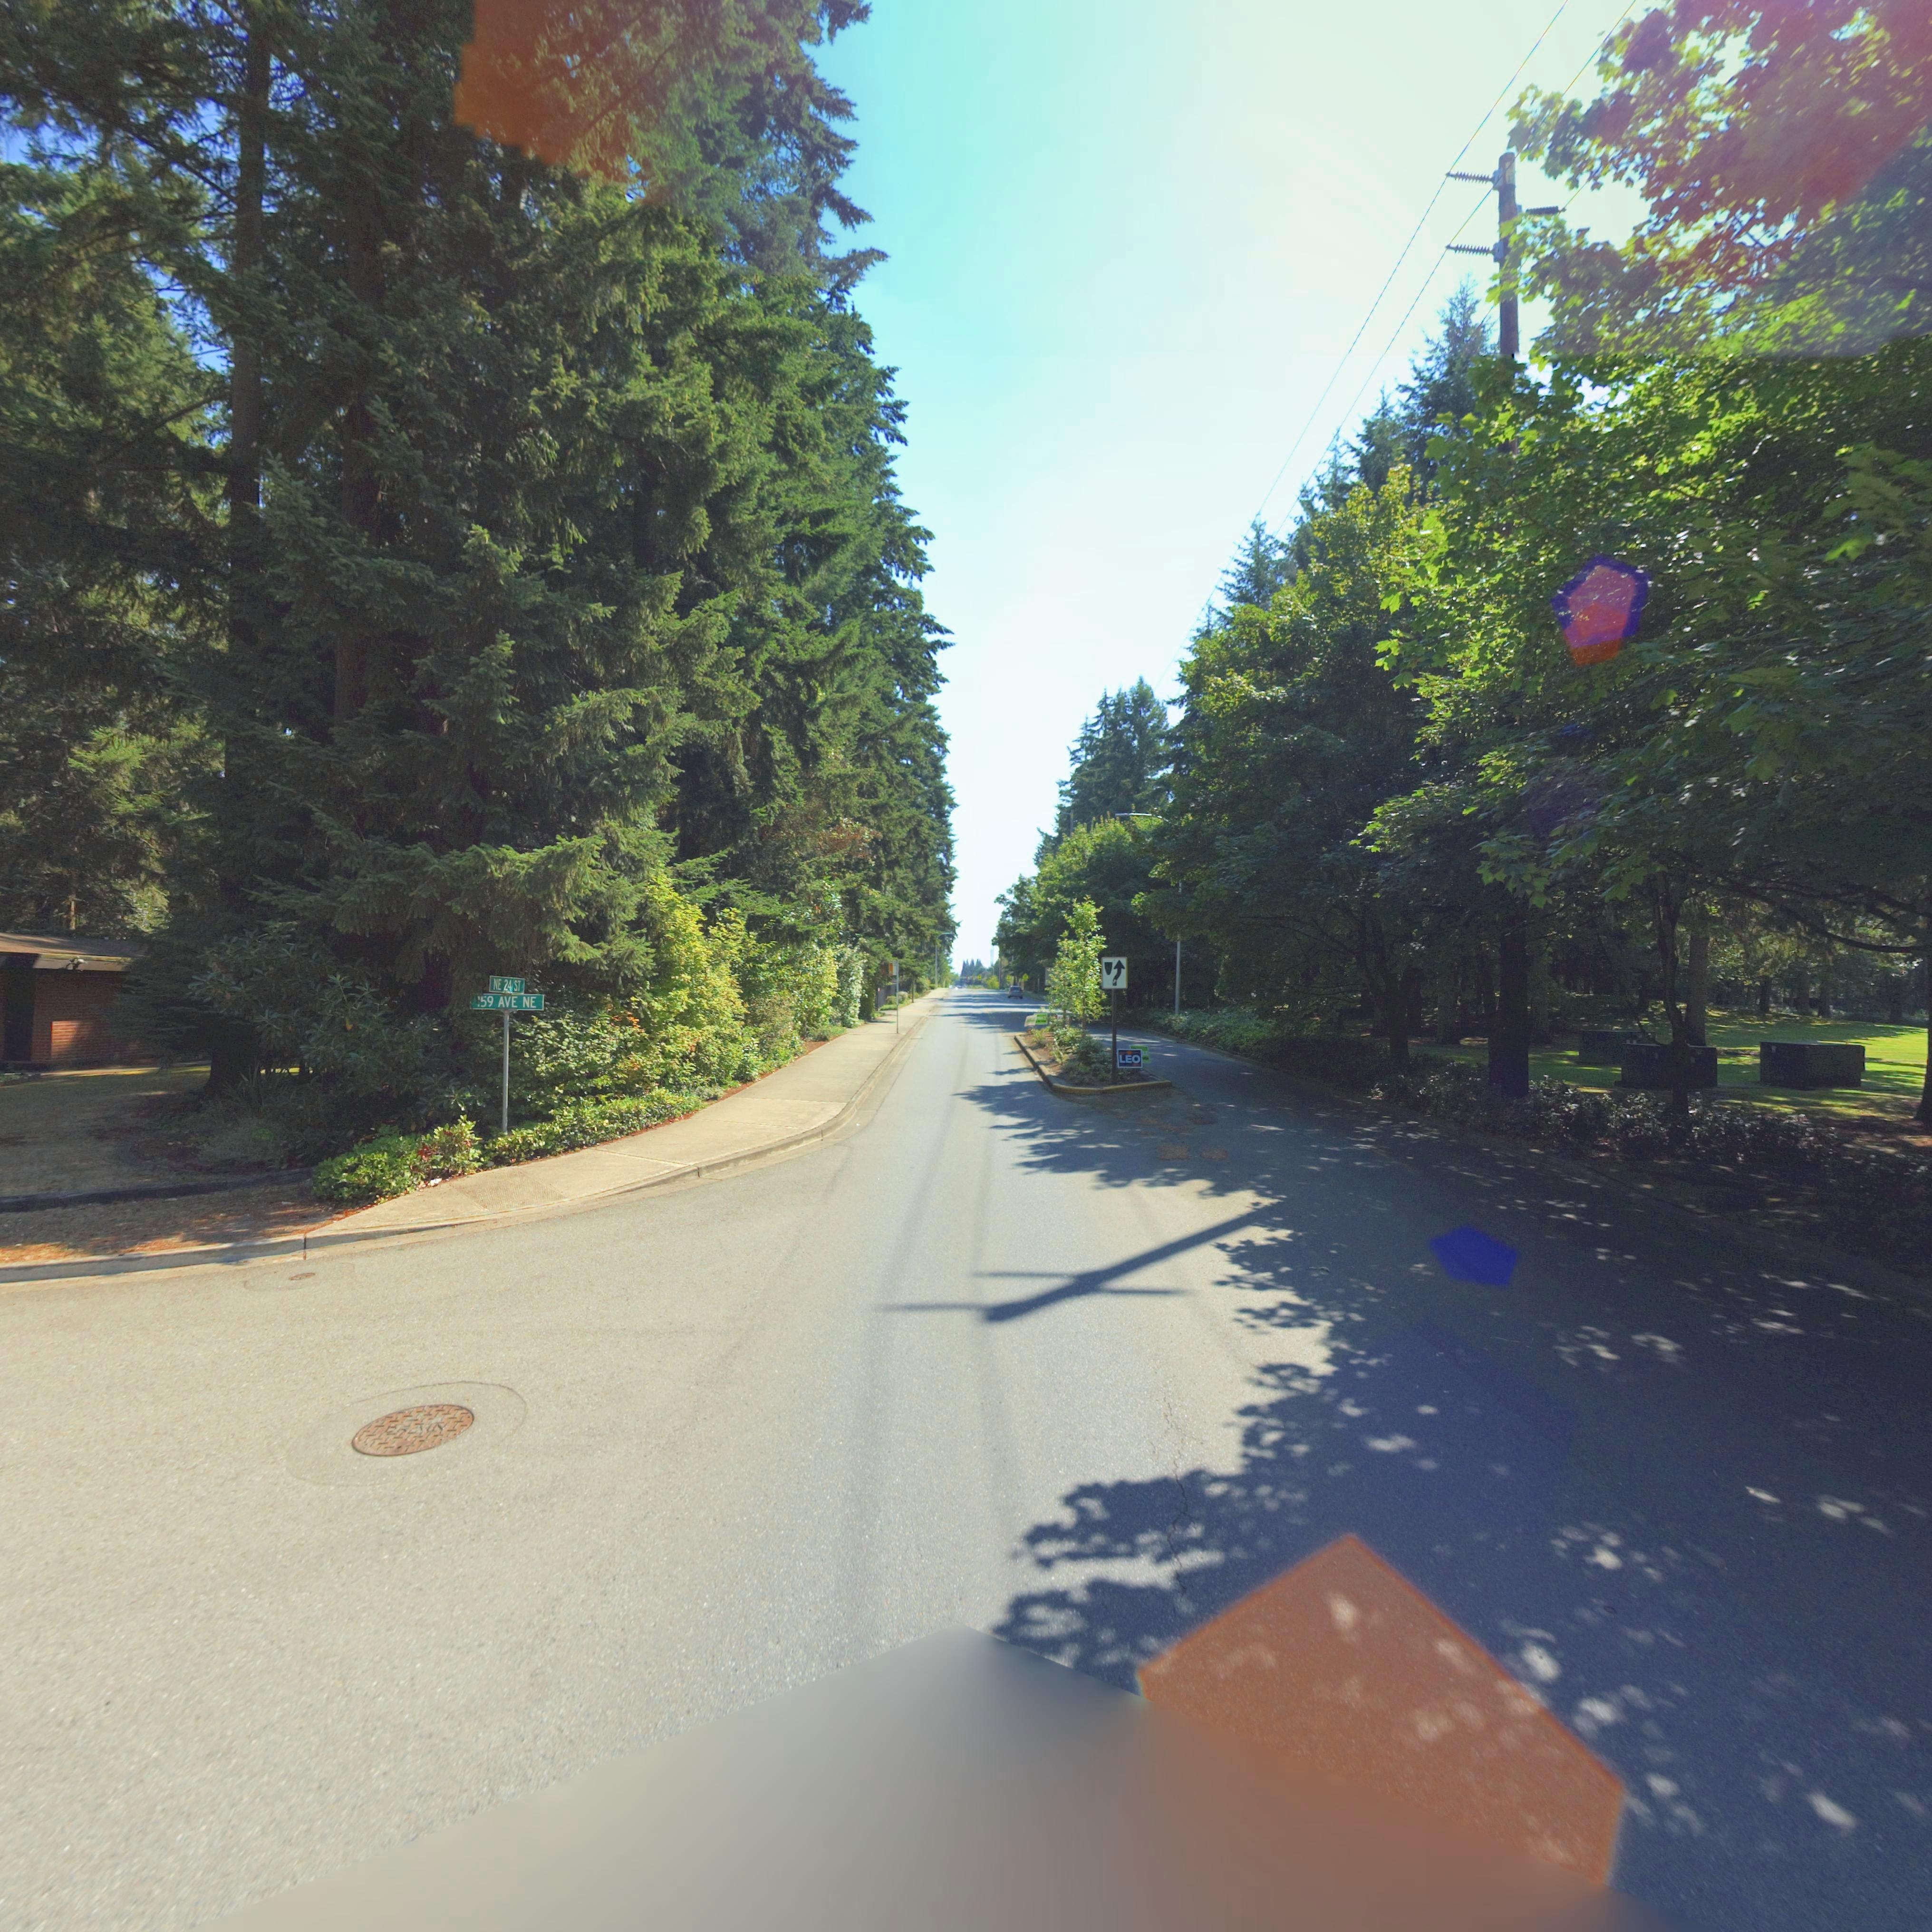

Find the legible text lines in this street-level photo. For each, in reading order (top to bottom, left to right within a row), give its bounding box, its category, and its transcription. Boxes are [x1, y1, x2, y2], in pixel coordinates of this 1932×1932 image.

[491, 977, 522, 993] StreetName: NE 24 ST
[476, 994, 538, 1009] StreetName: 159 AVE NE